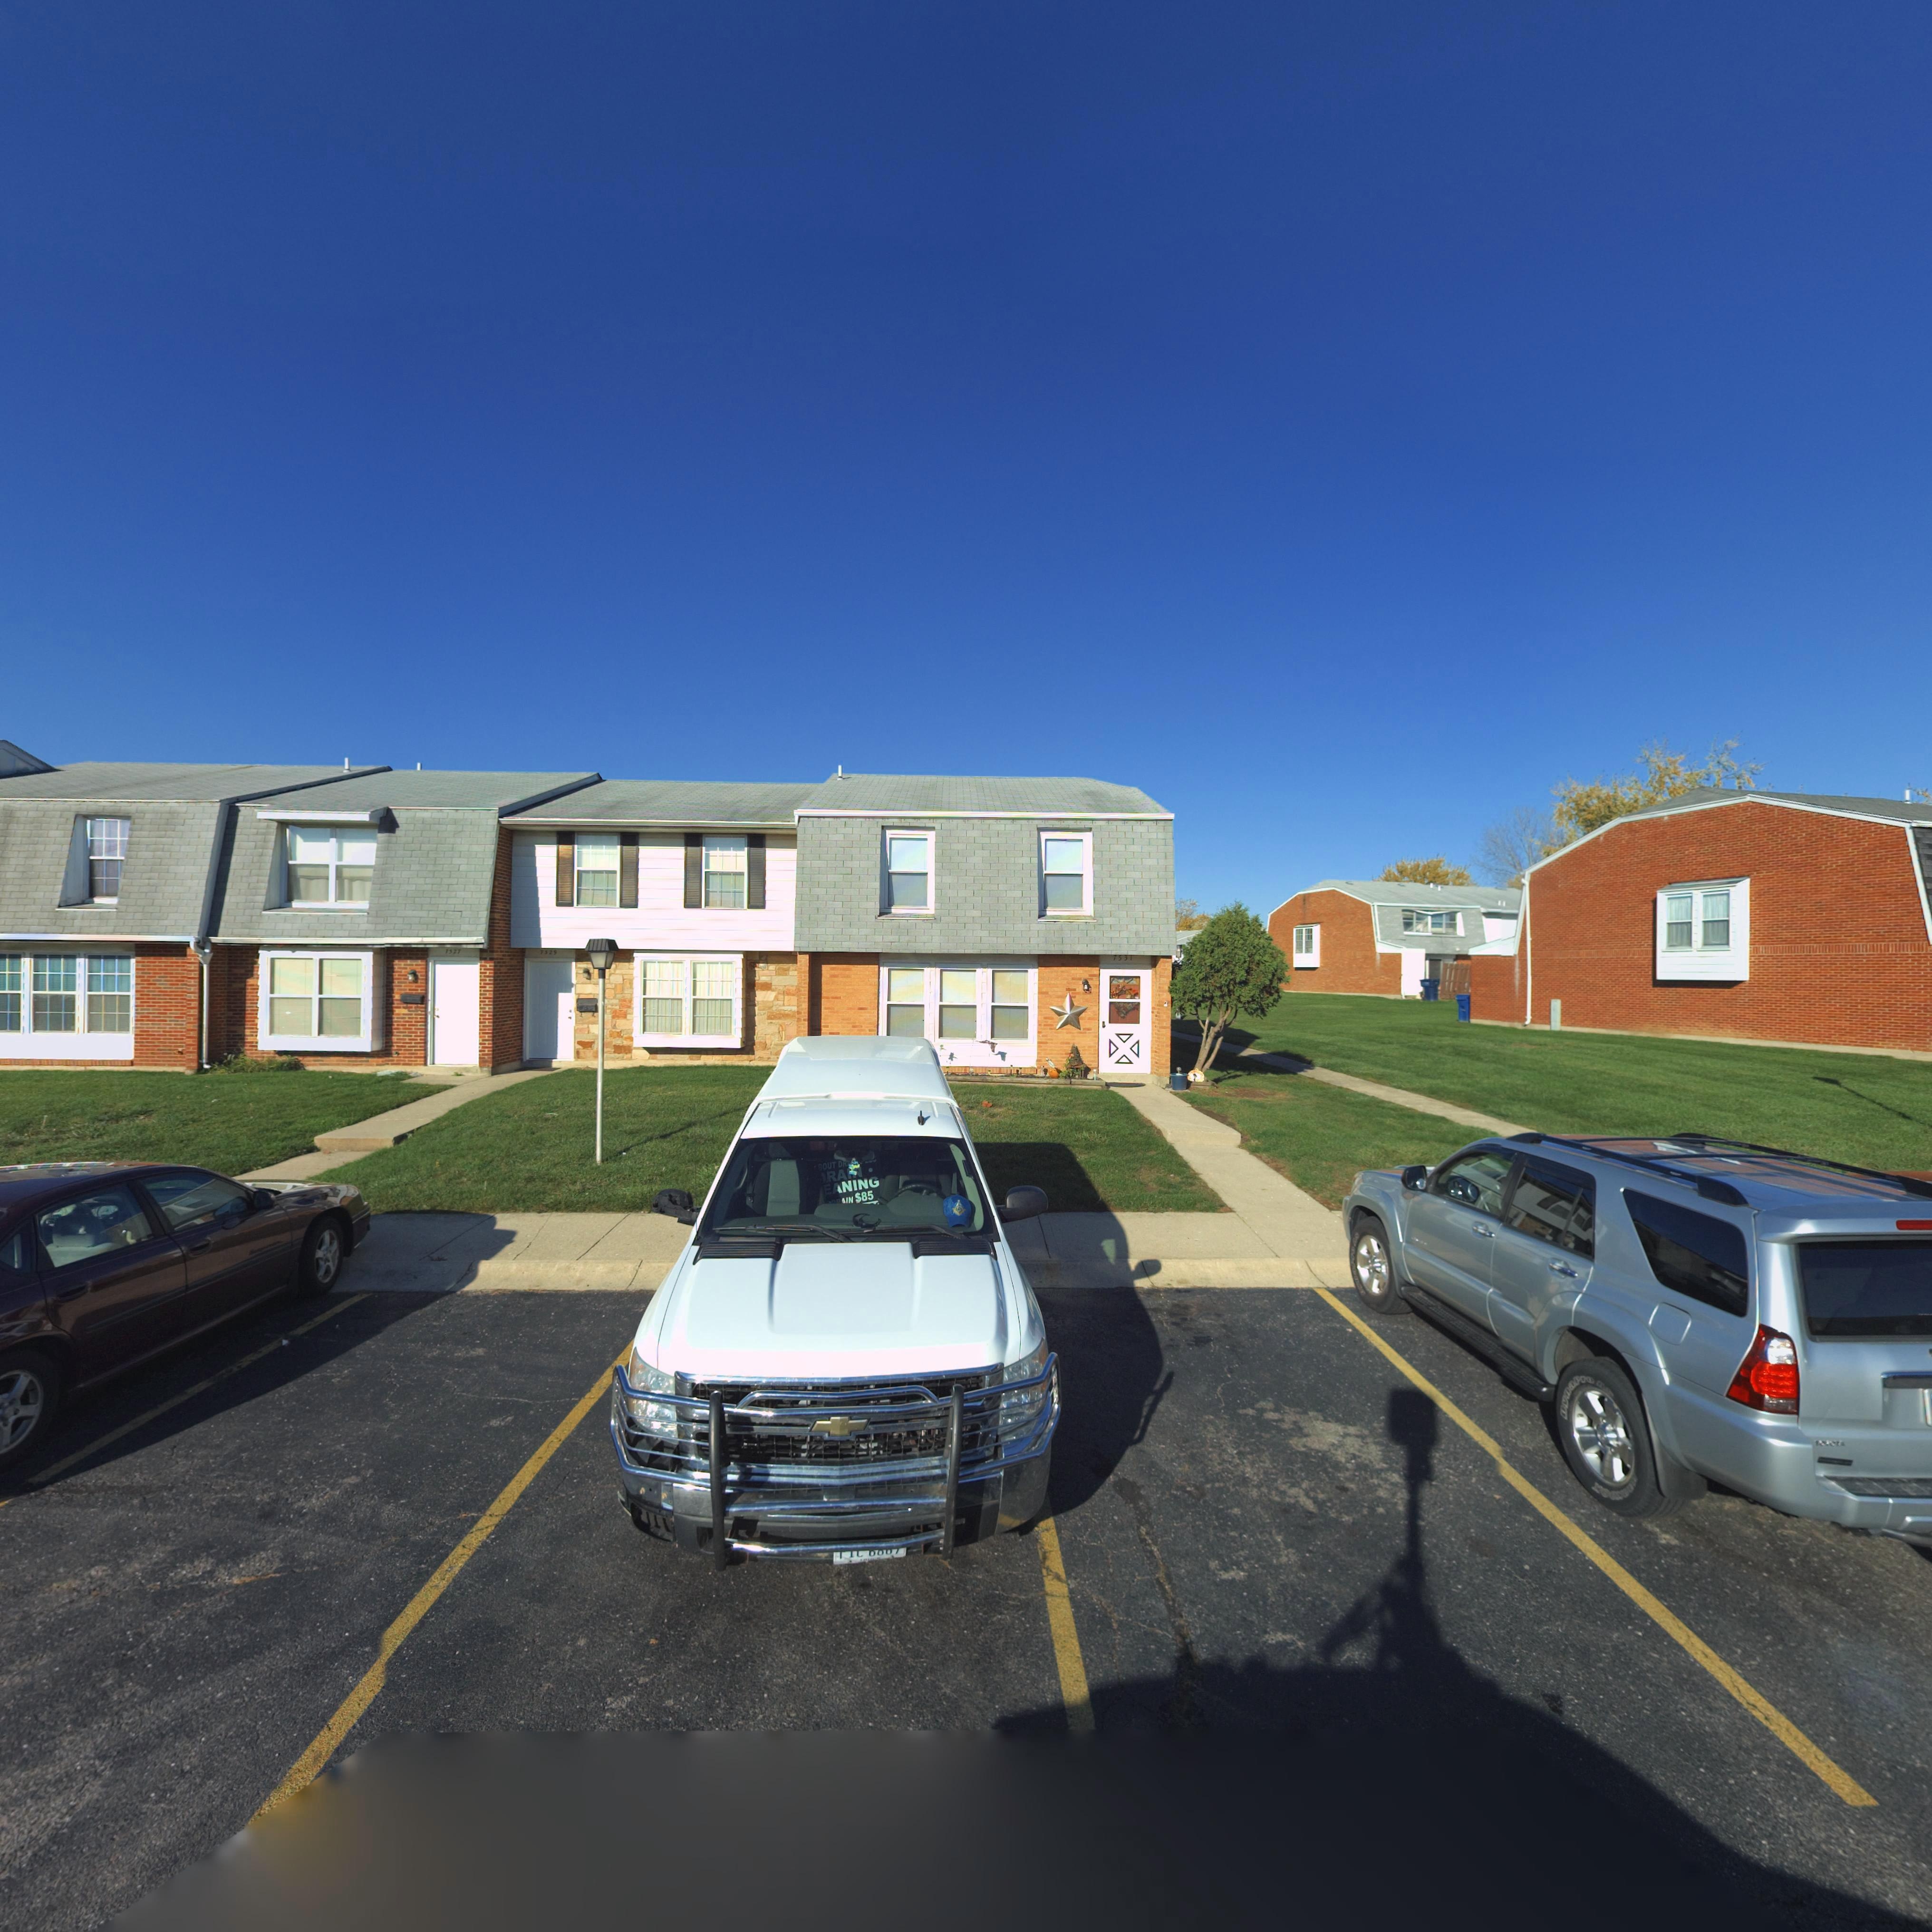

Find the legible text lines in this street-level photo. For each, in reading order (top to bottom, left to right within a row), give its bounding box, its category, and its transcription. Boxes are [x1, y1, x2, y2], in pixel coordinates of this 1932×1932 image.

[444, 948, 461, 955] StreetNumber: 7527
[540, 949, 557, 955] StreetNumber: 7529
[1113, 955, 1133, 961] StreetNumber: 7531